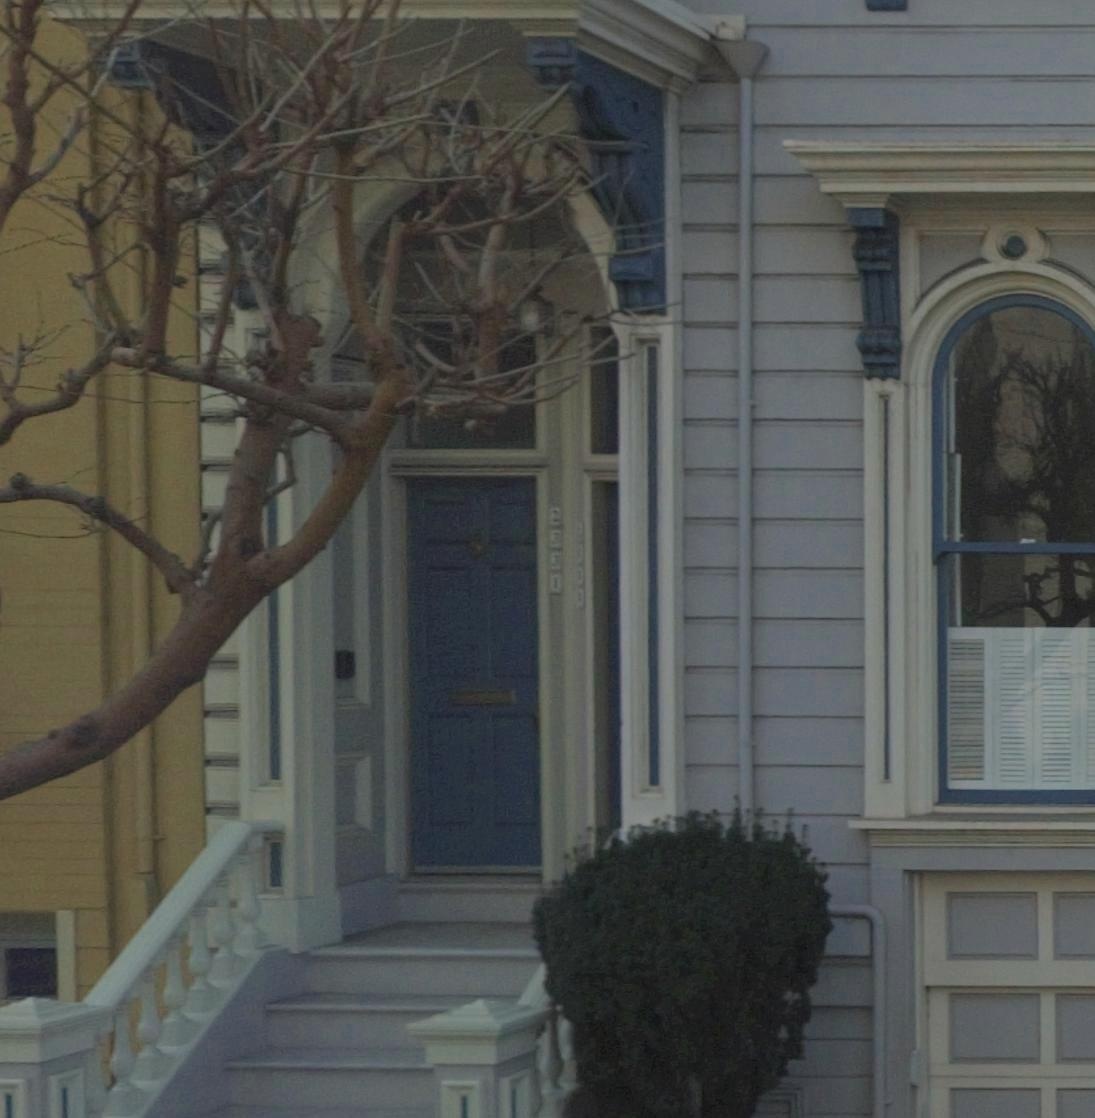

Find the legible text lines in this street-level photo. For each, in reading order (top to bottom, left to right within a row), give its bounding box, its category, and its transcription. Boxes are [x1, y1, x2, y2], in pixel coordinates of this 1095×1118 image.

[547, 505, 566, 598] StreetNumber: 2**0